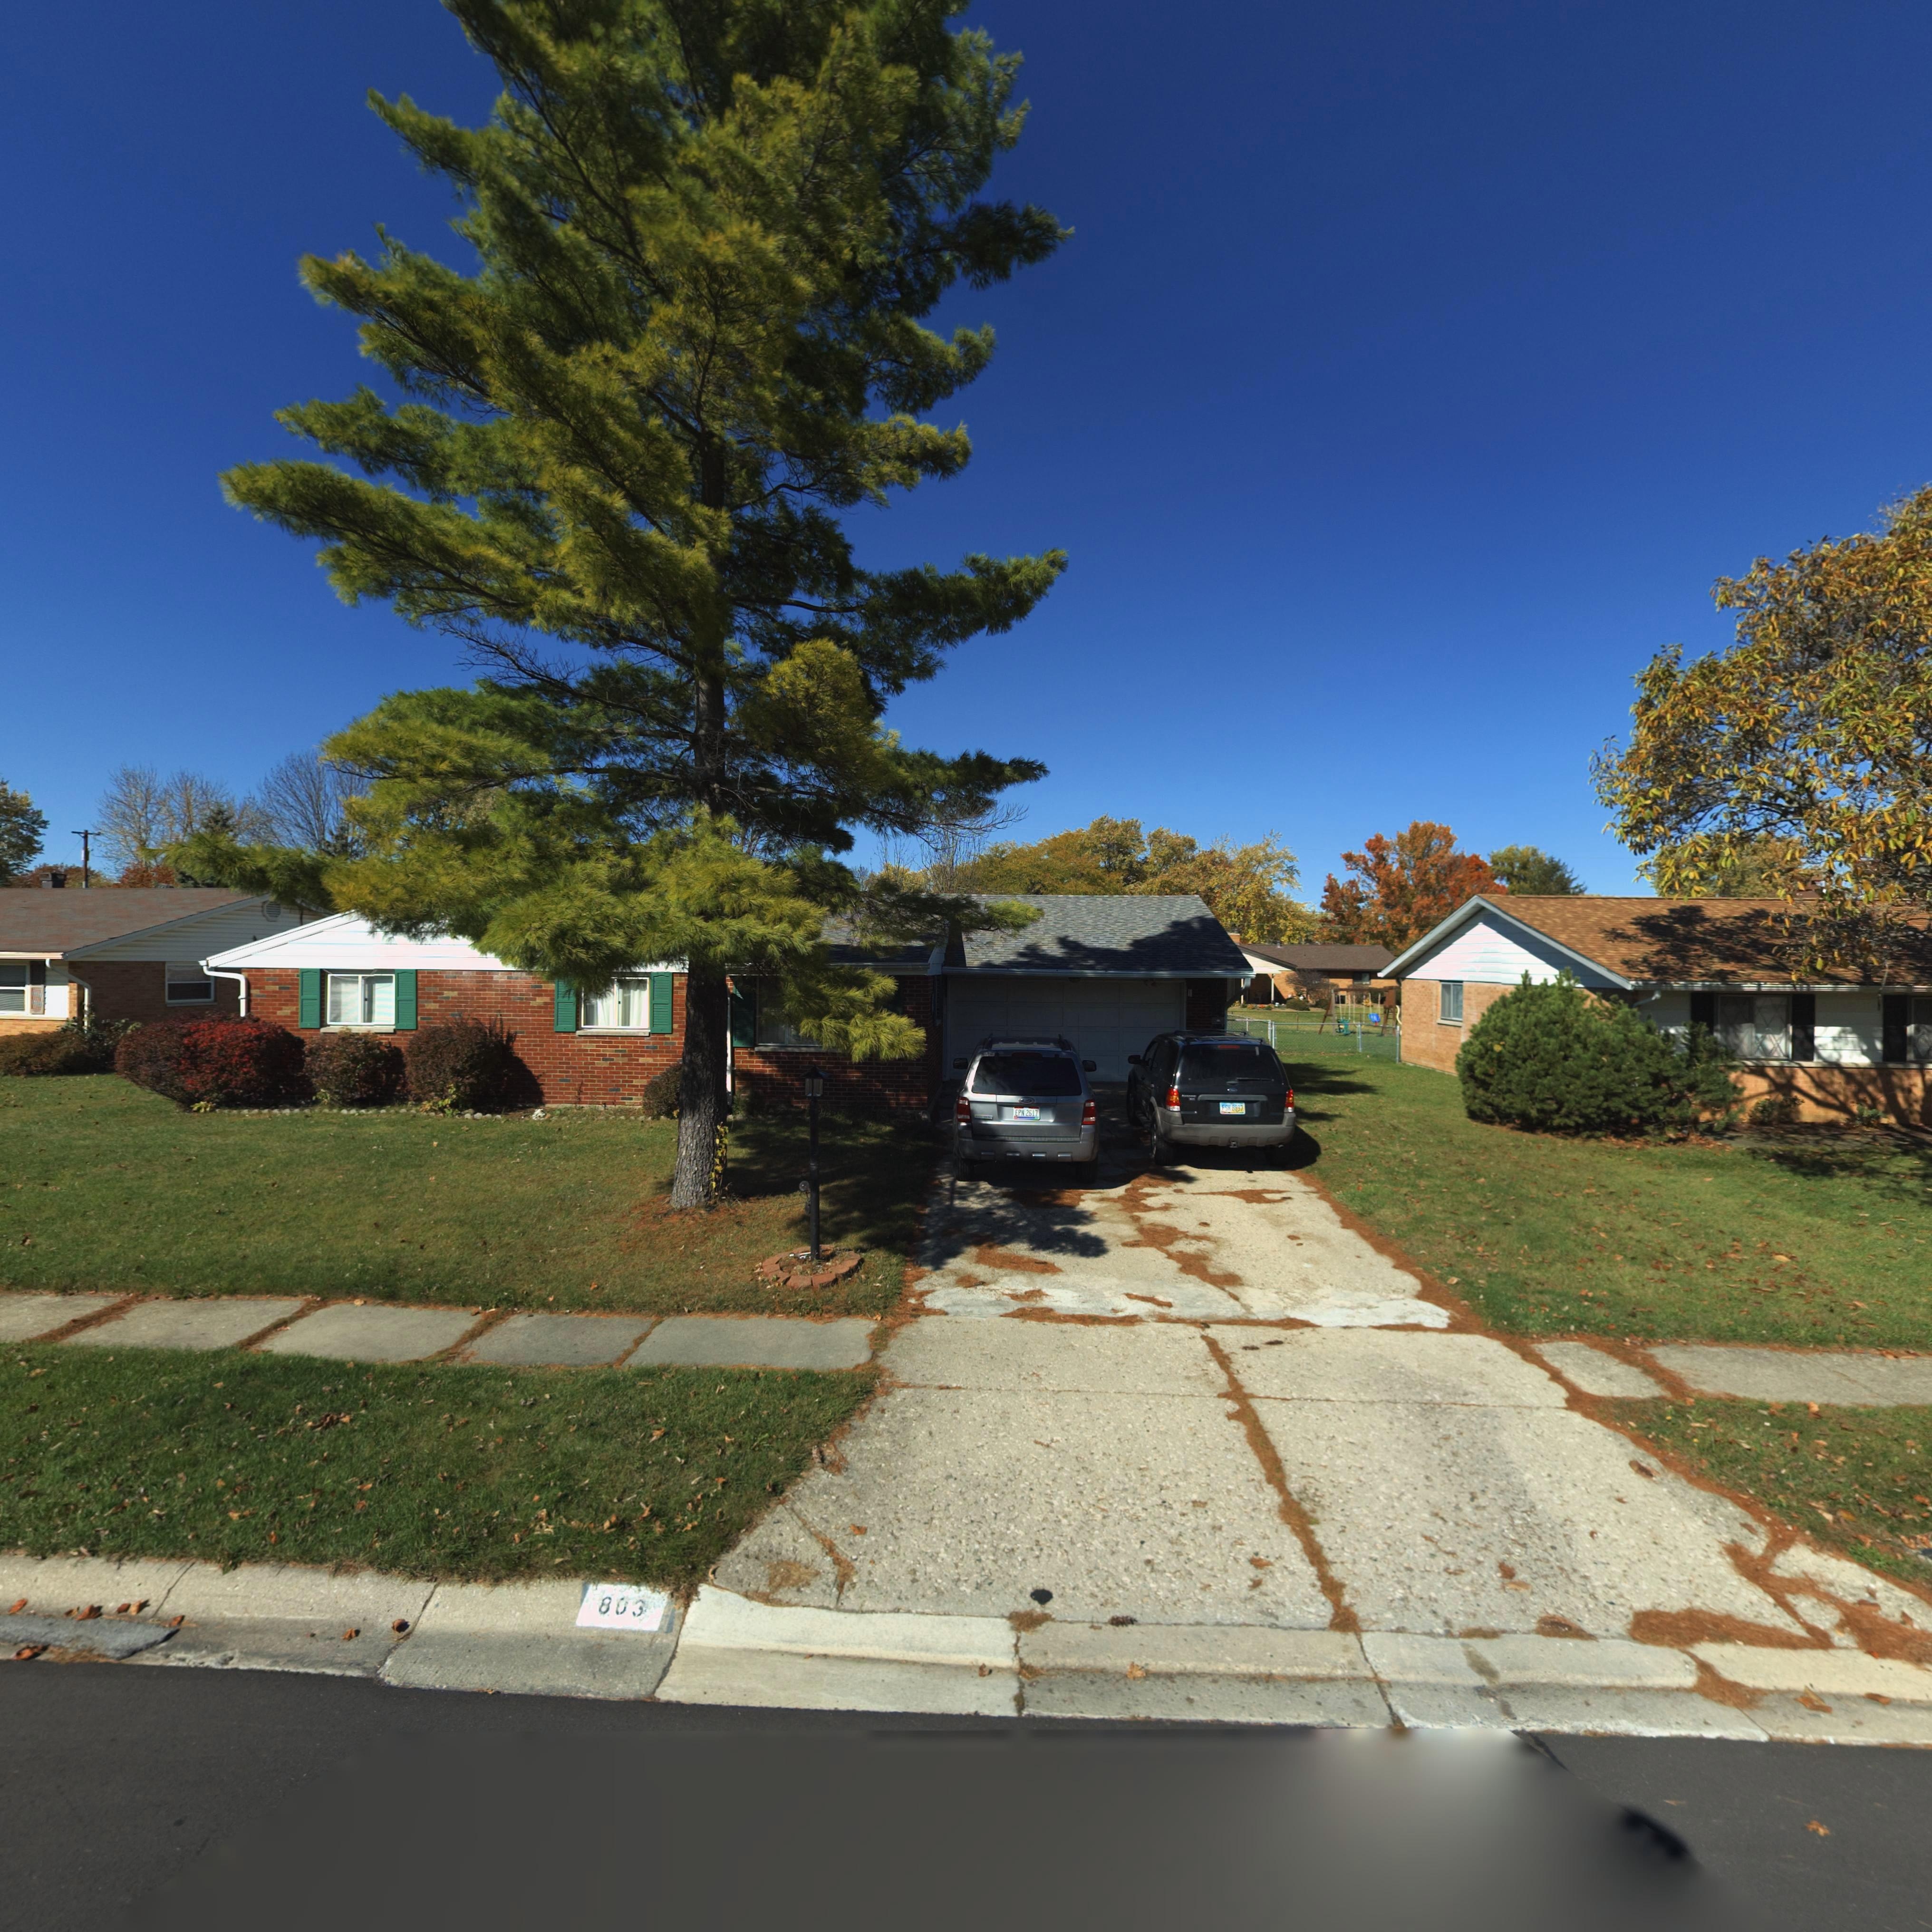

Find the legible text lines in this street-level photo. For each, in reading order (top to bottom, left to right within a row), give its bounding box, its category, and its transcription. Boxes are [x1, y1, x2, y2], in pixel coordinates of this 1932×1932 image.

[597, 1596, 647, 1619] StreetNumber: 803